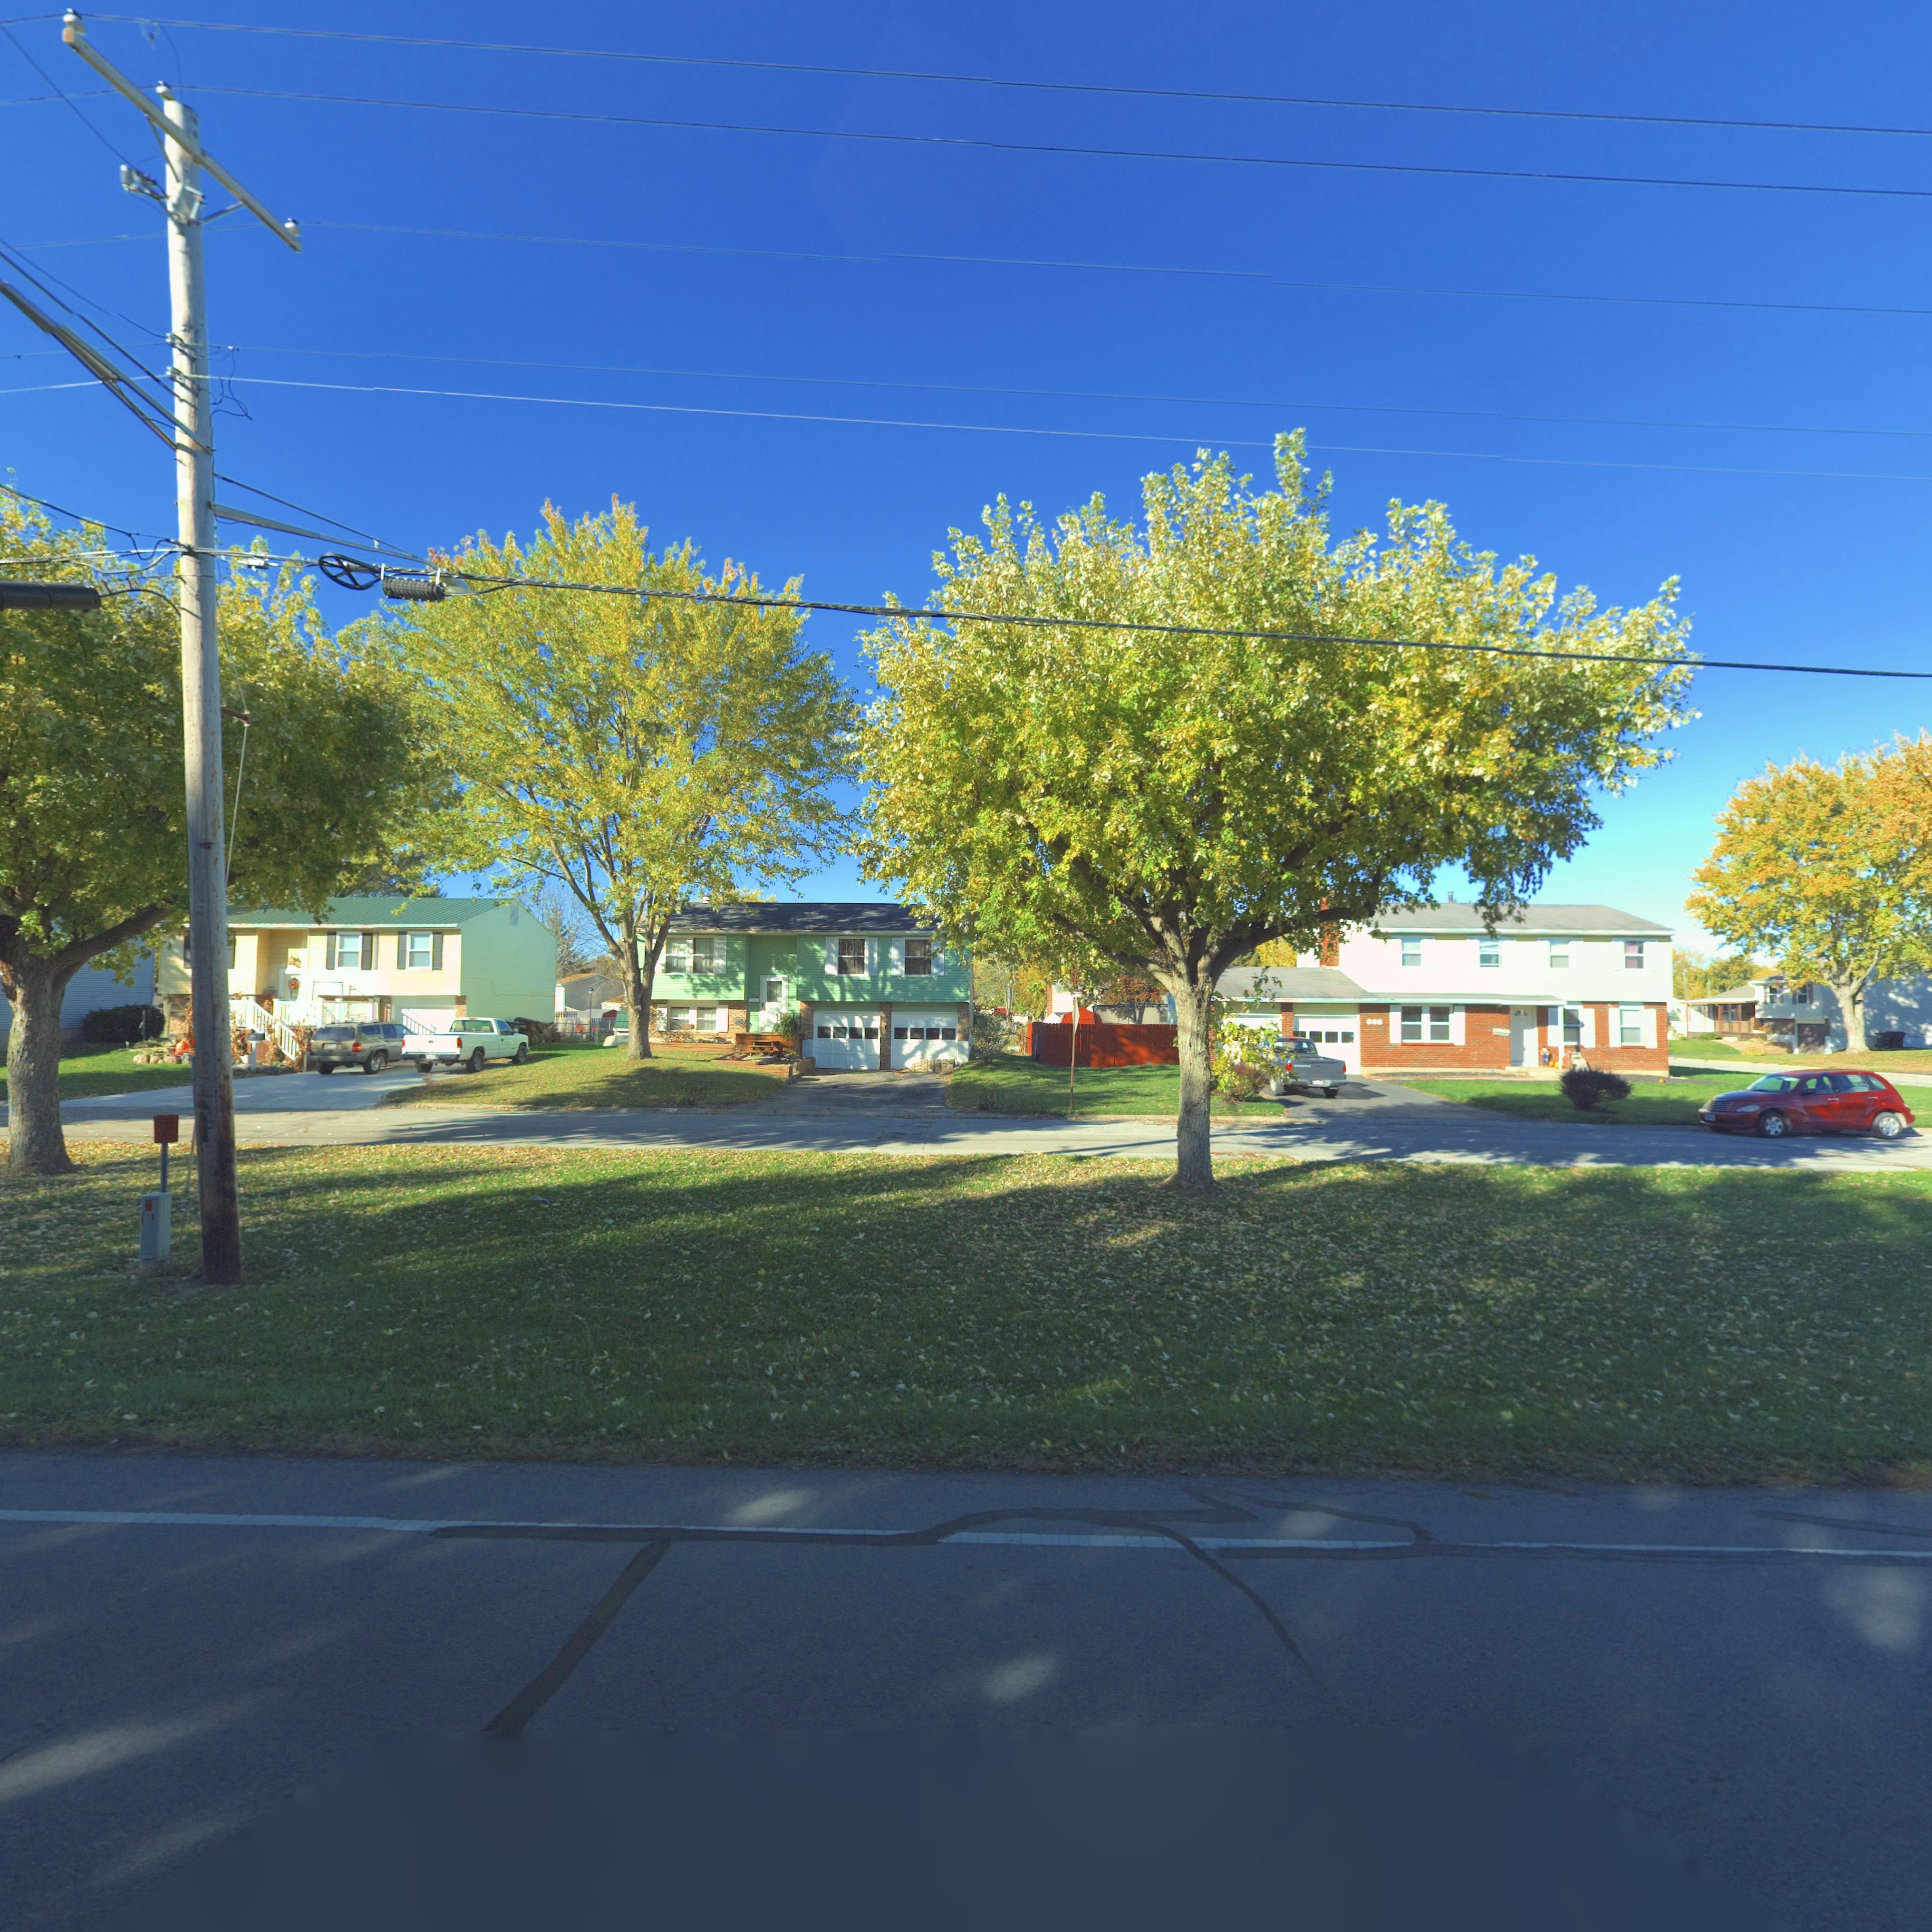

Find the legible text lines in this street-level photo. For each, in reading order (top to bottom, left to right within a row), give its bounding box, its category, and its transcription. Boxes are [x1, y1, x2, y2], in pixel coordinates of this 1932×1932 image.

[958, 1012, 963, 1018] StreetNumber: 6
[1365, 1018, 1383, 1025] StreetNumber: 6**